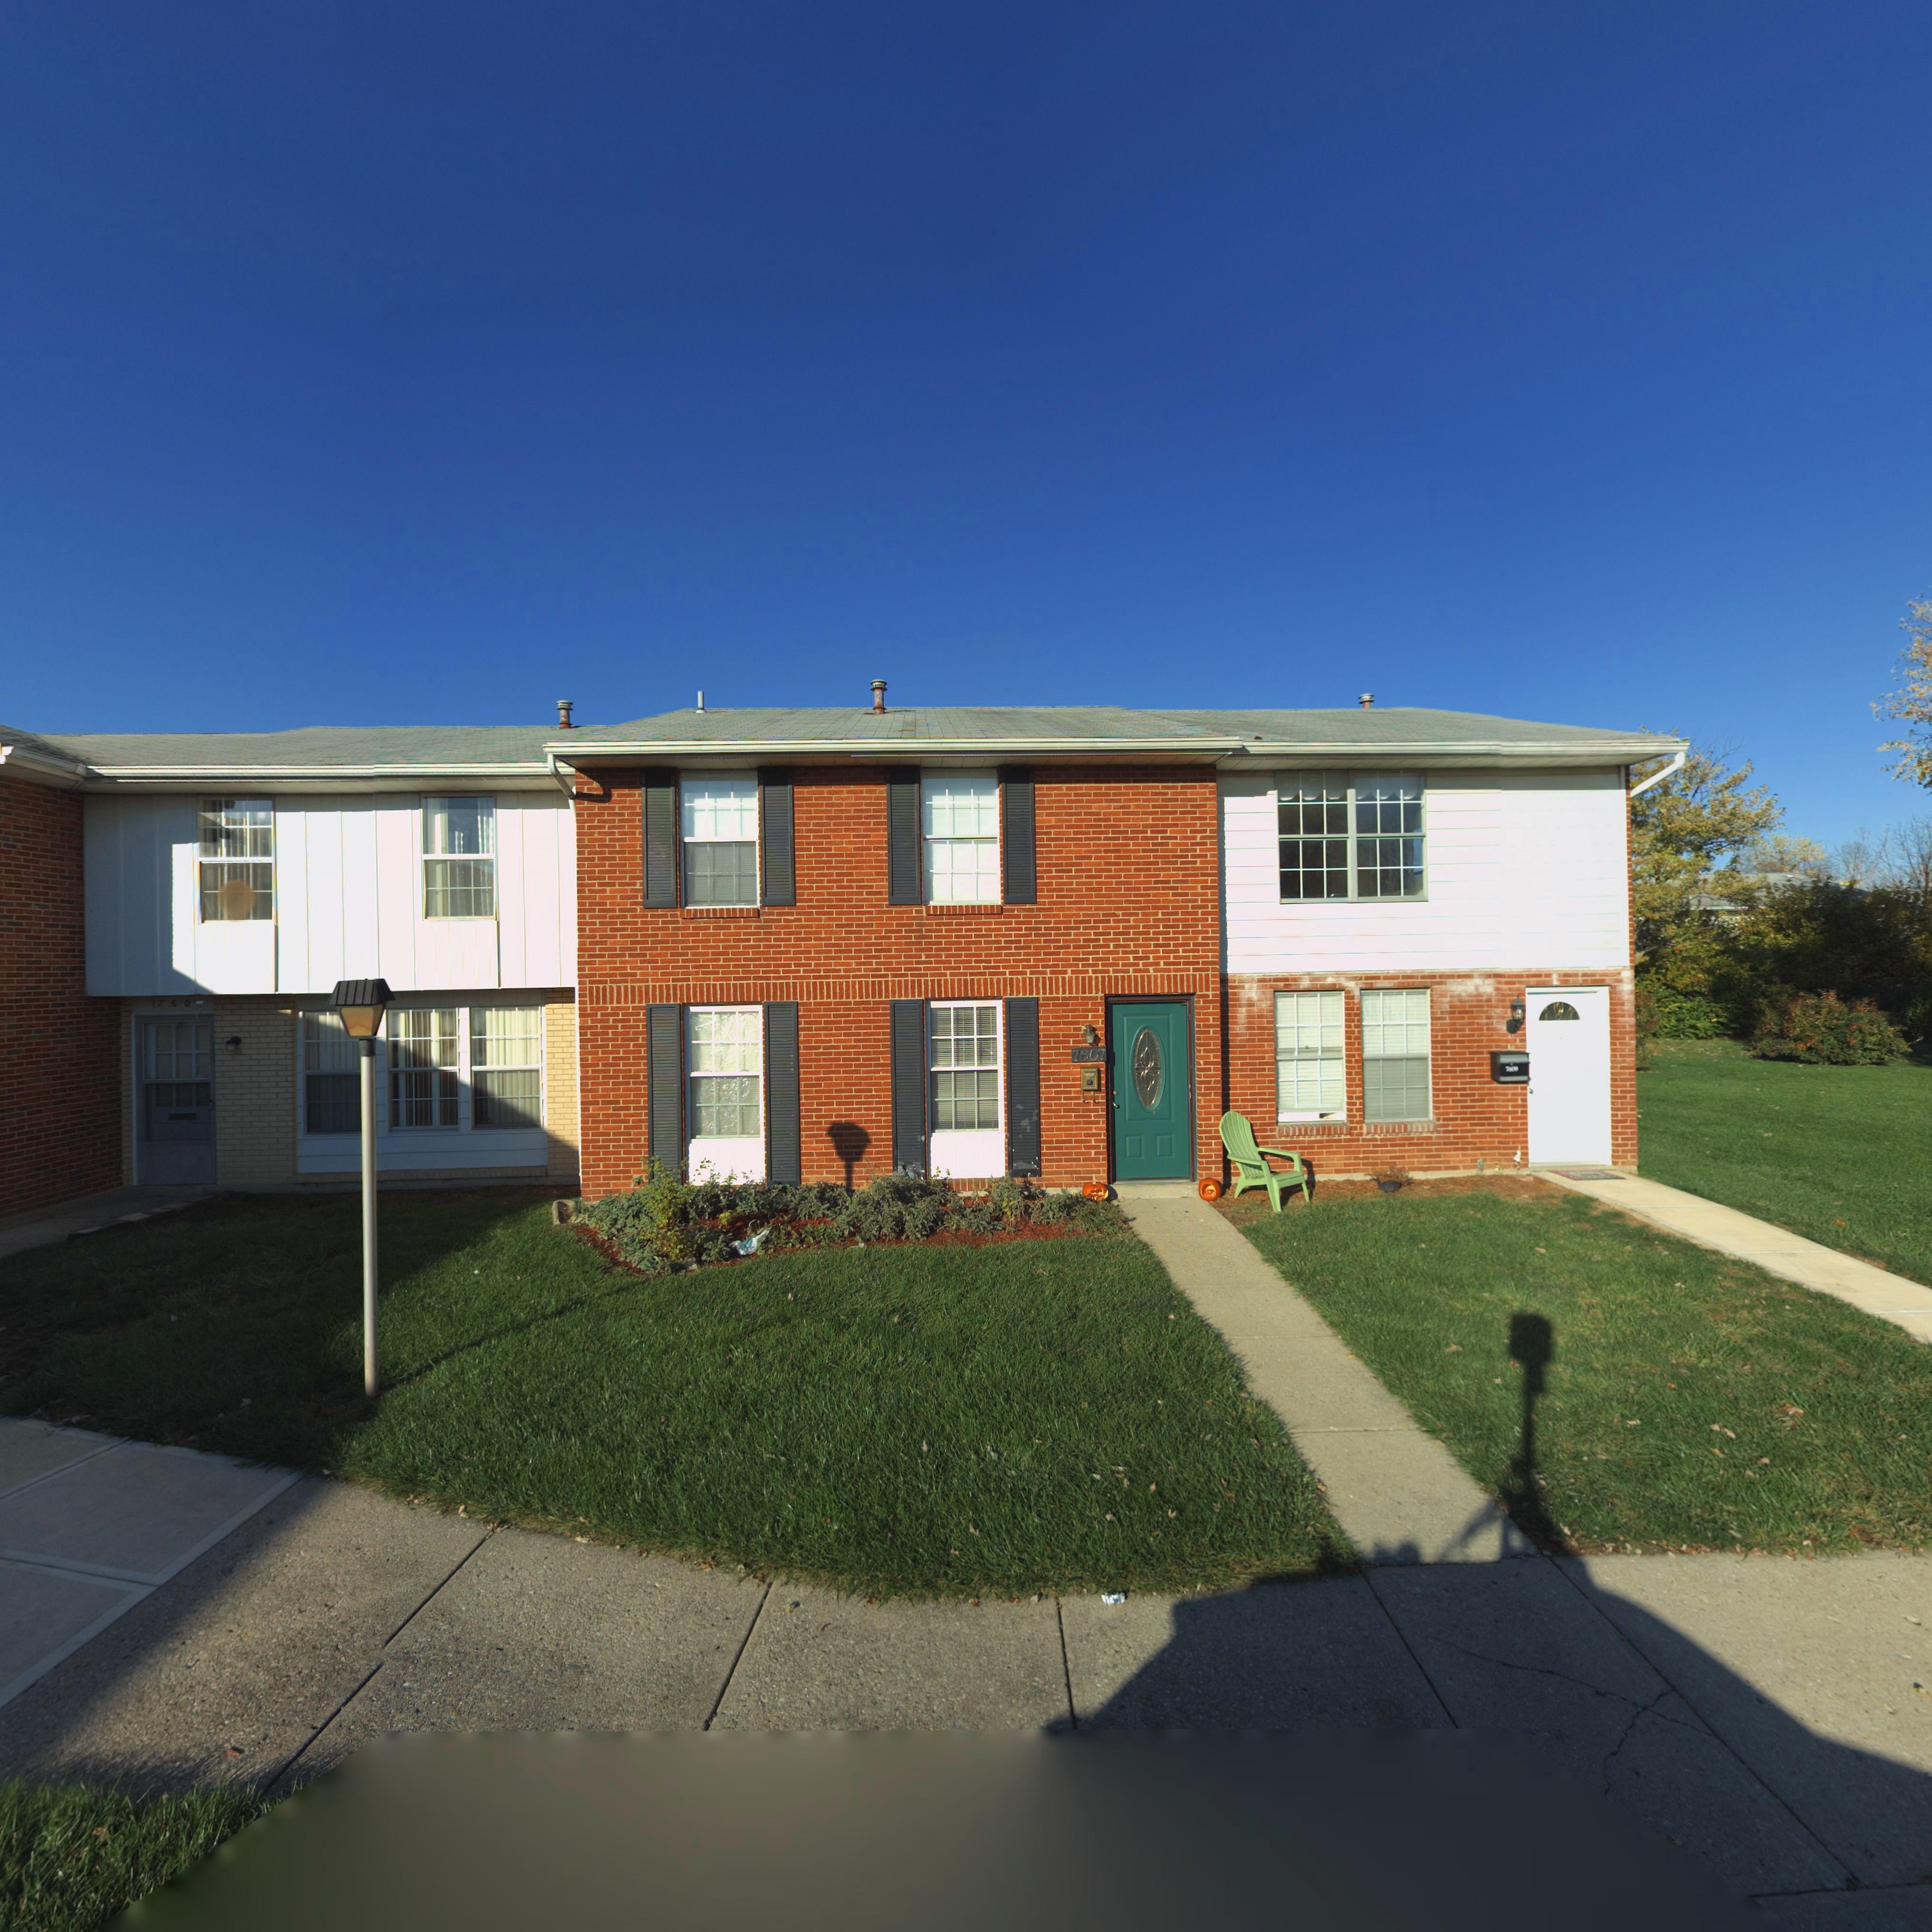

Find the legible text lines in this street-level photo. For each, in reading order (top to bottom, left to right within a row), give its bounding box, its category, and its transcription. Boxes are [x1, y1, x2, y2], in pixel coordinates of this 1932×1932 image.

[156, 999, 191, 1008] StreetNumber: 760
[1072, 1048, 1107, 1062] StreetNumber: 7607
[1505, 1065, 1519, 1072] StreetNumber: 7609